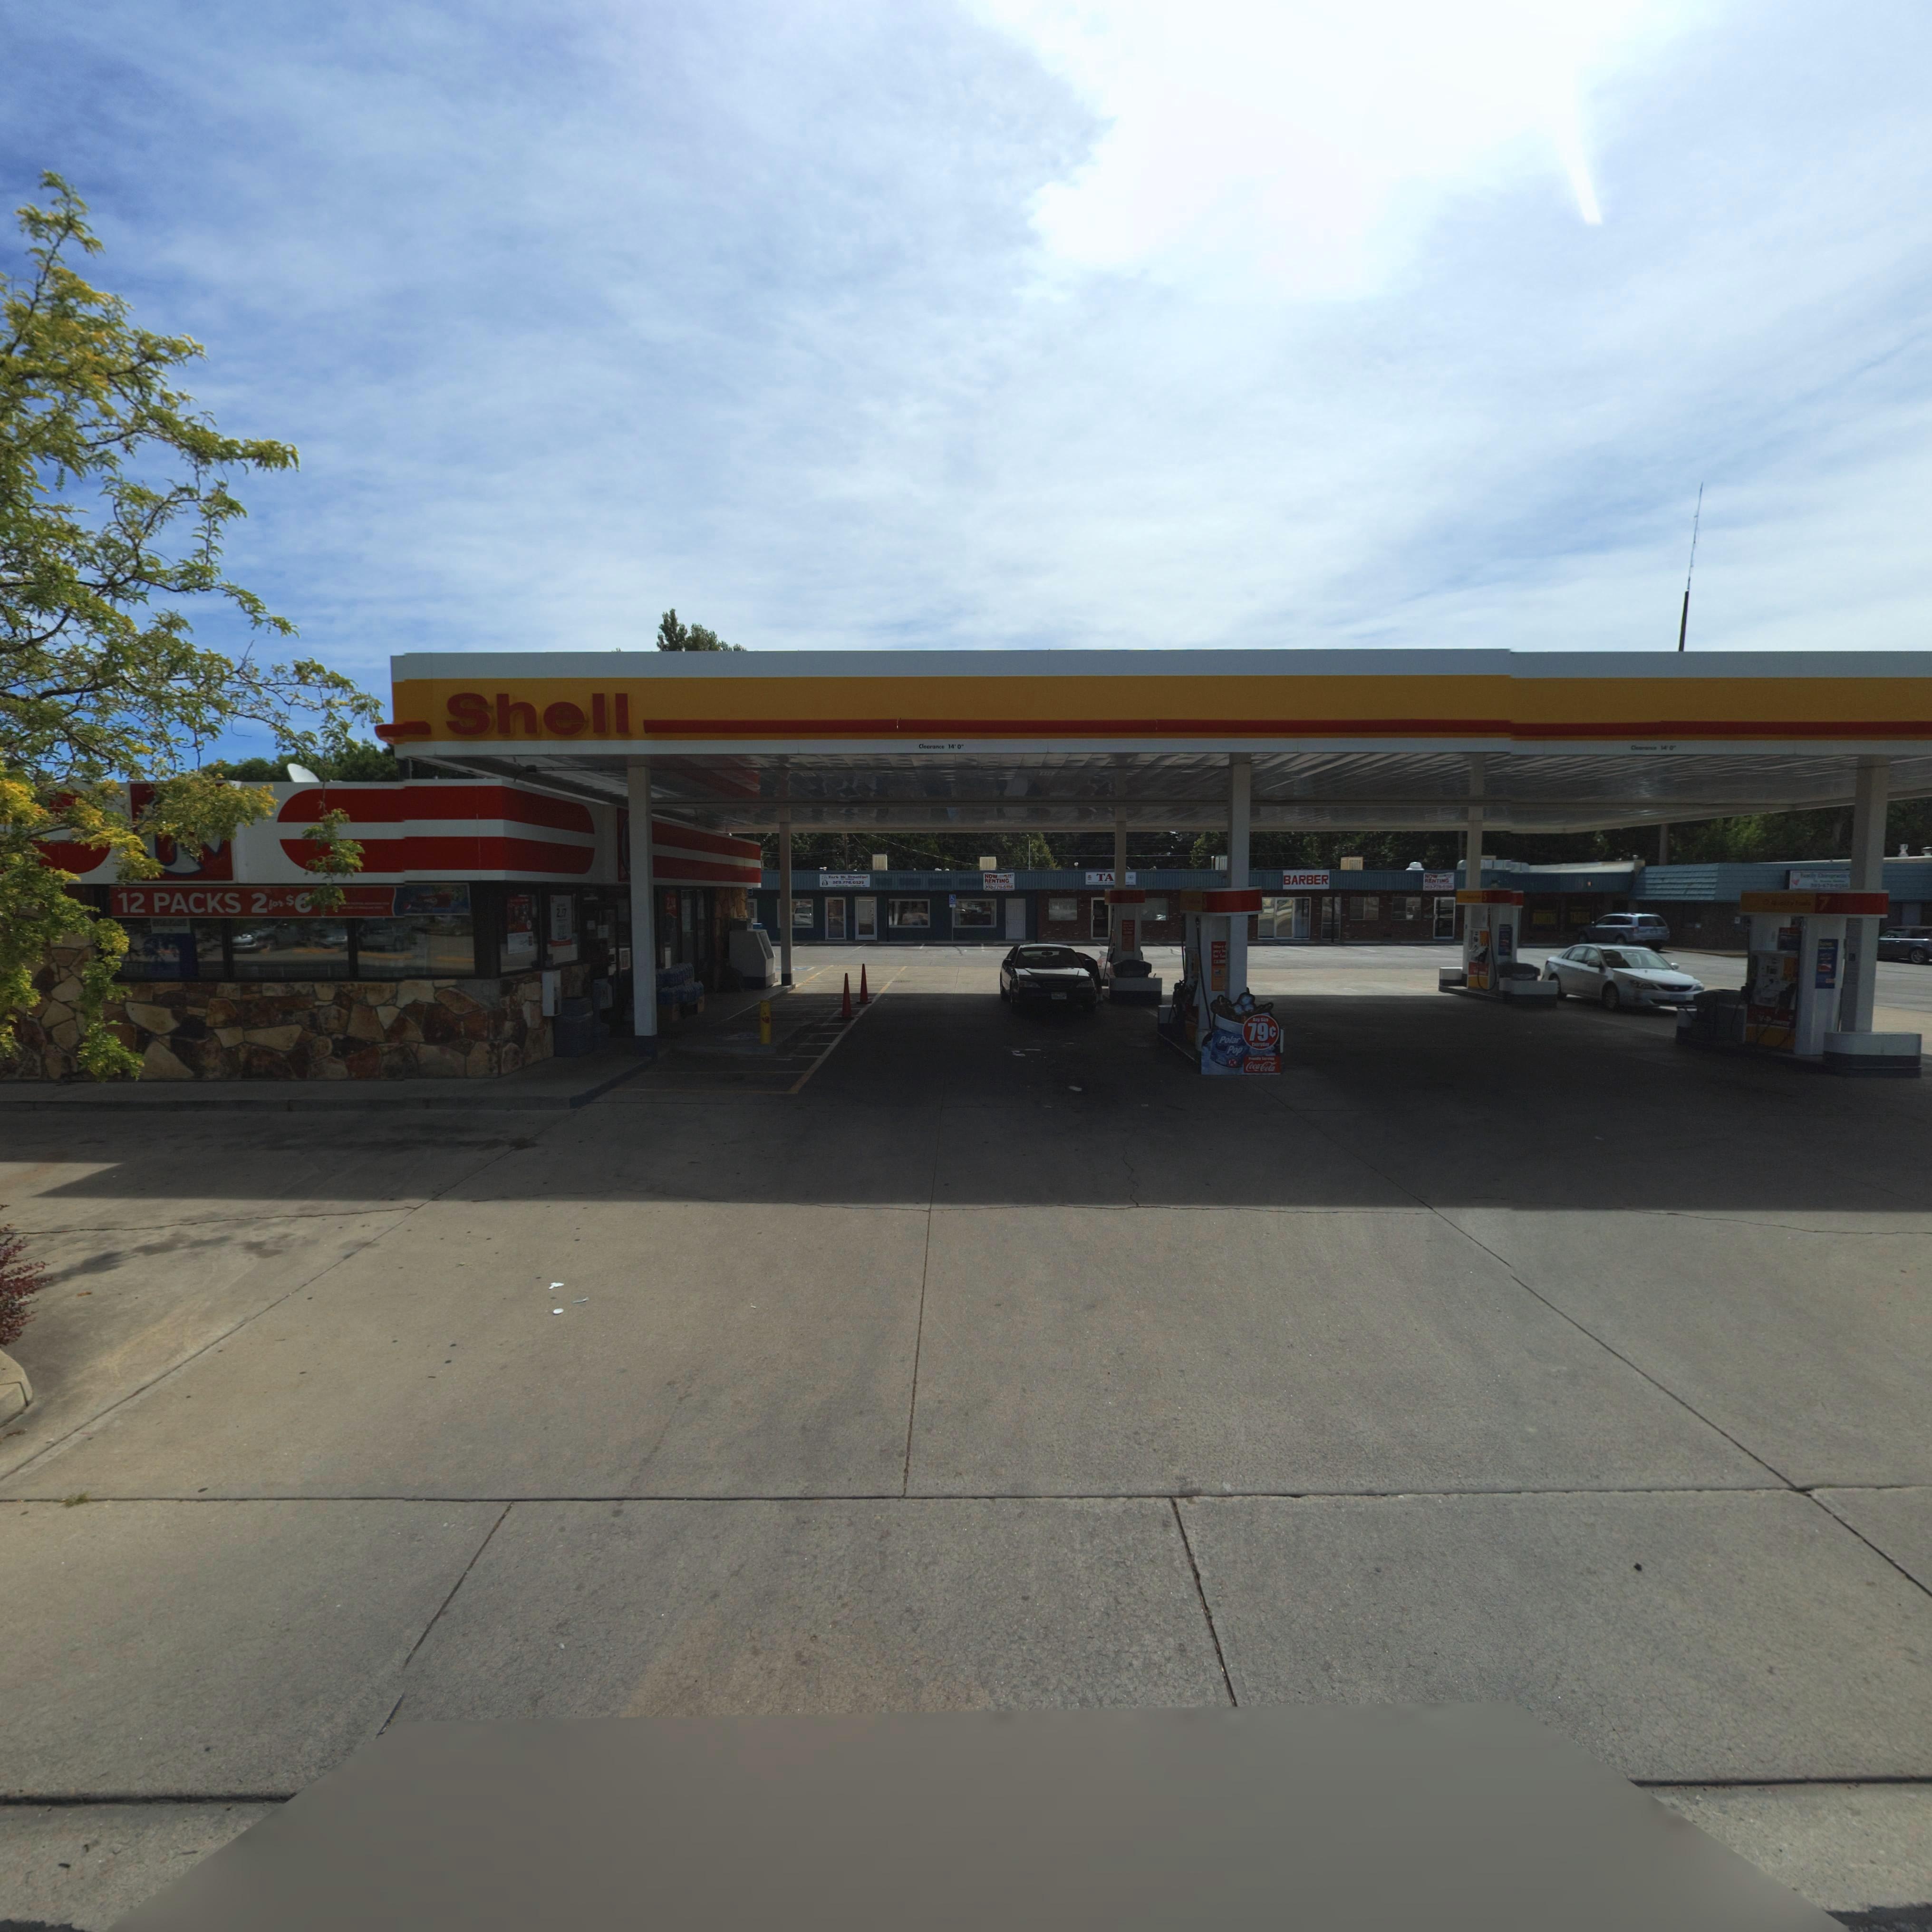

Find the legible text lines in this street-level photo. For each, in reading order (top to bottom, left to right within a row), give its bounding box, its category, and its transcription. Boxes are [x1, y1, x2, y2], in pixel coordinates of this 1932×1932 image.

[443, 689, 634, 738] BusinessName: Shell
[1800, 873, 1847, 879] BusinessName: Fam*** Ch**********